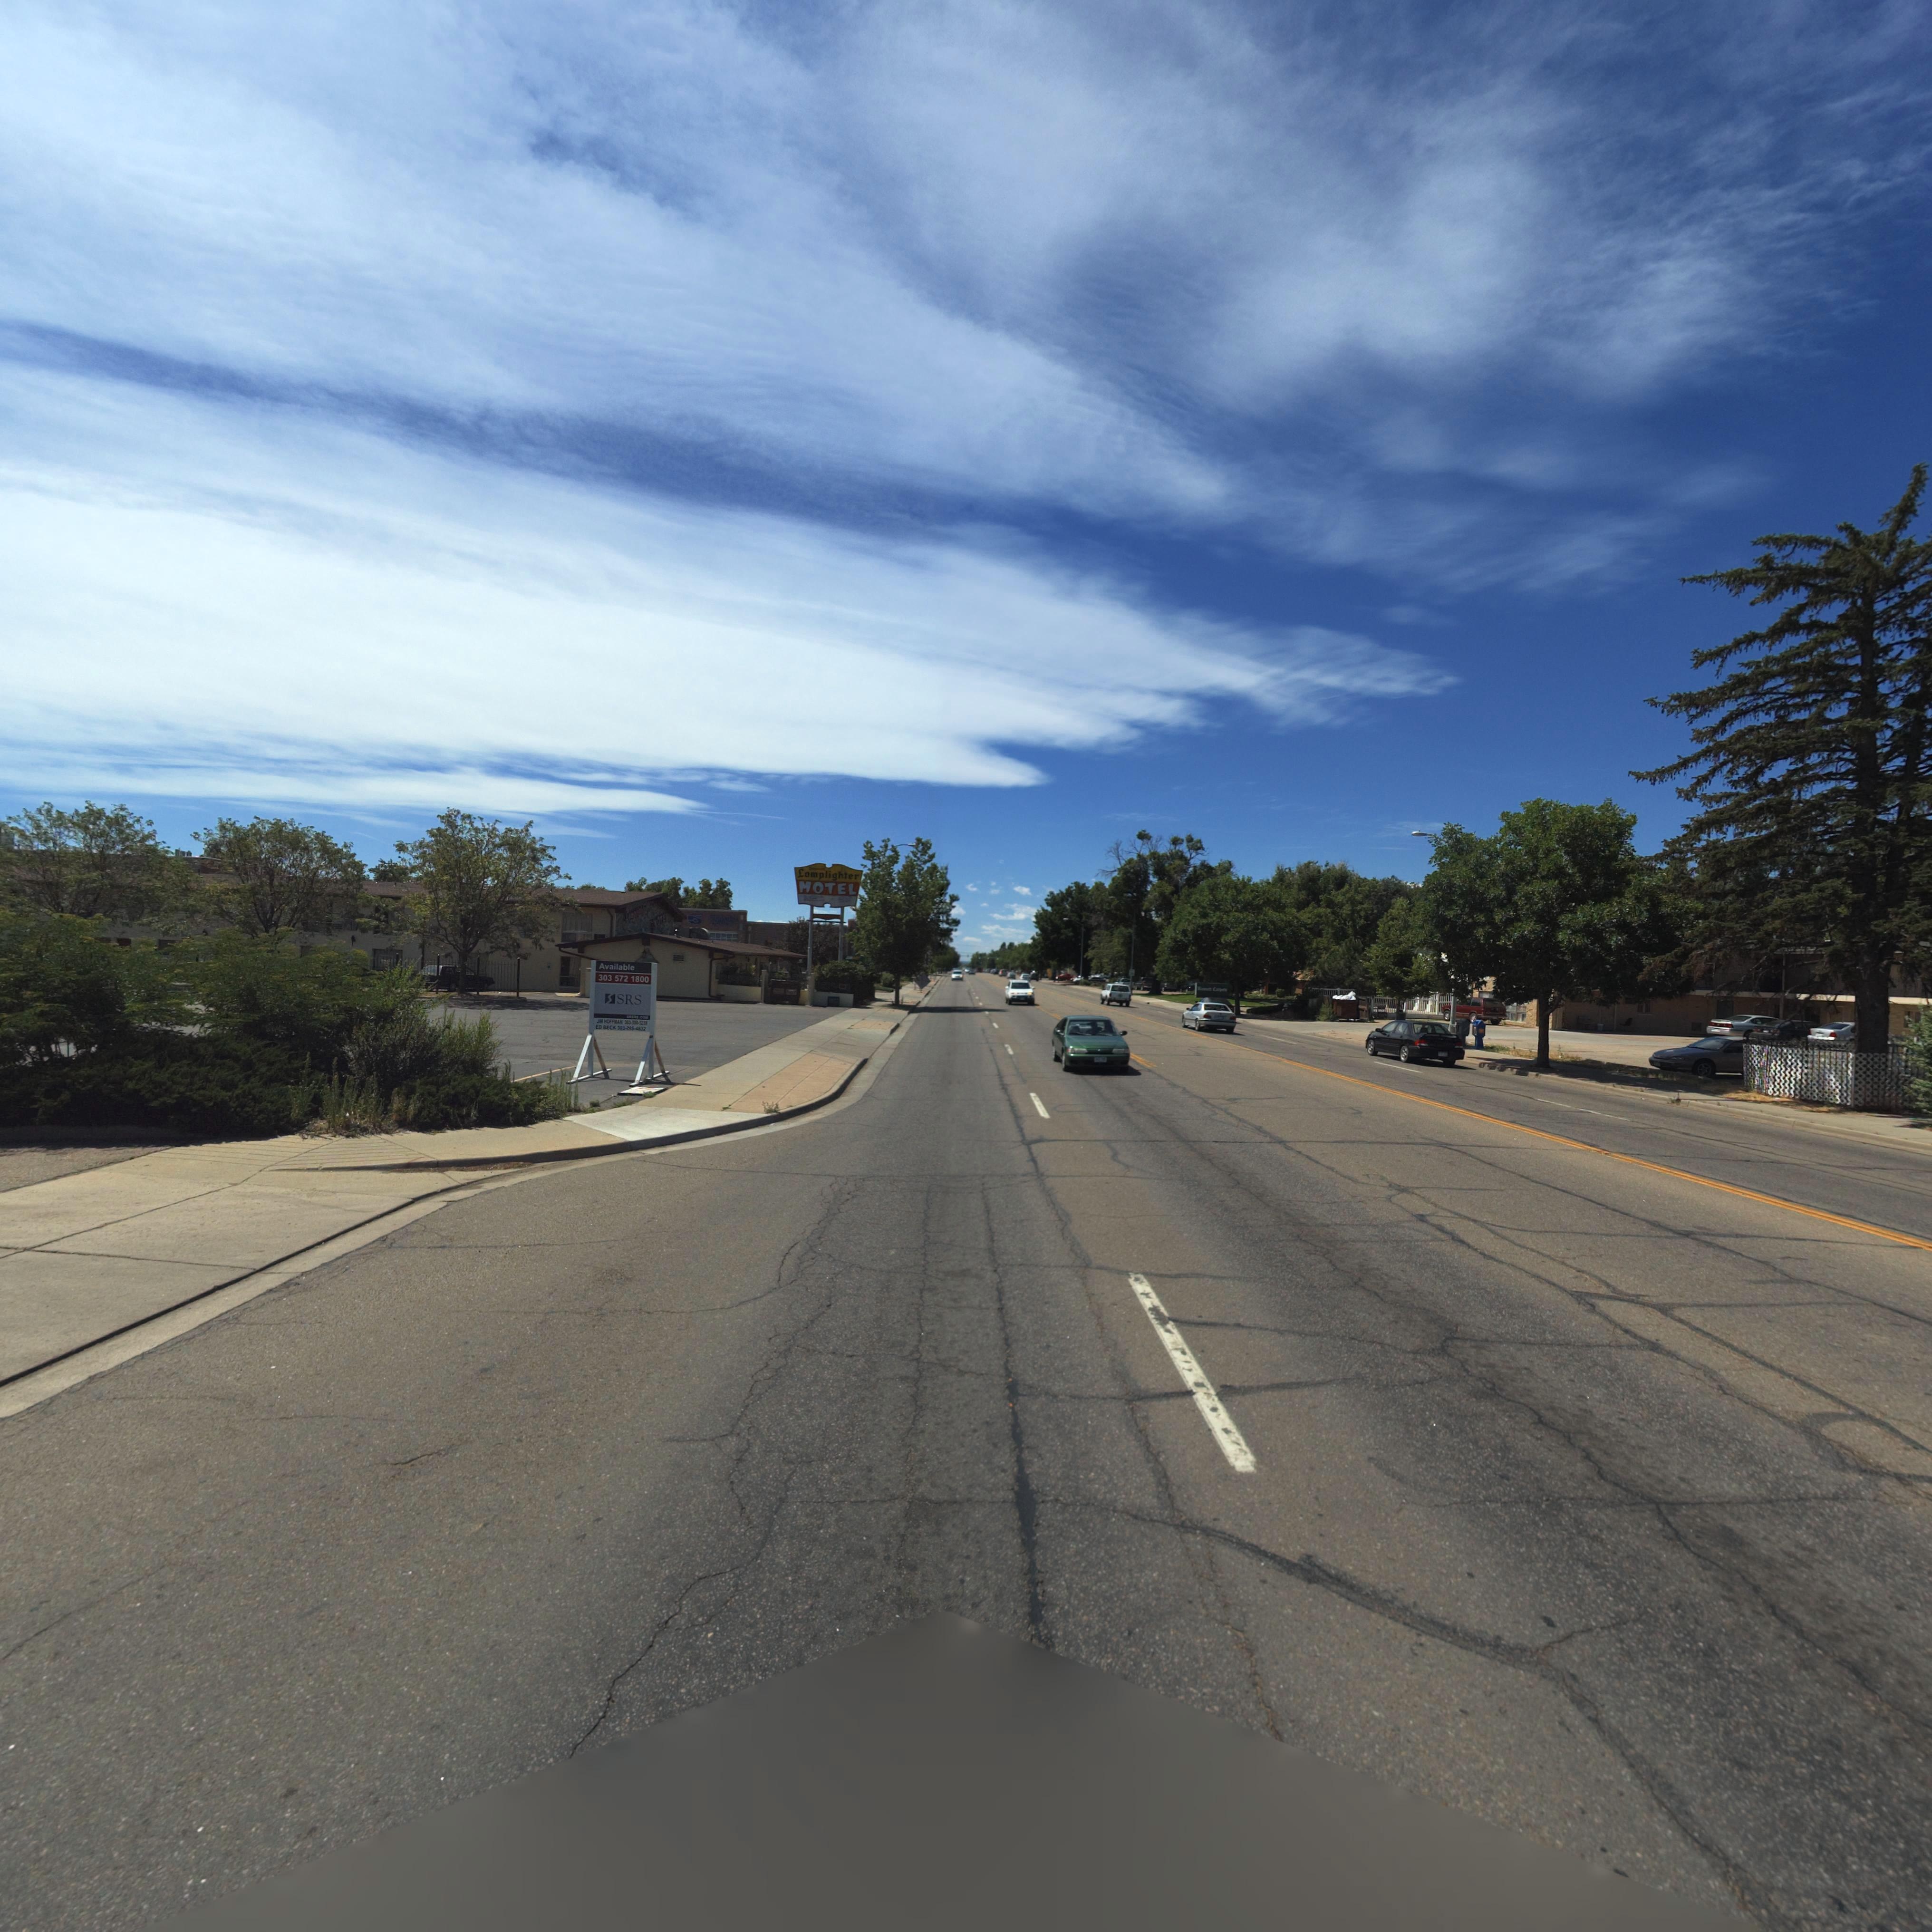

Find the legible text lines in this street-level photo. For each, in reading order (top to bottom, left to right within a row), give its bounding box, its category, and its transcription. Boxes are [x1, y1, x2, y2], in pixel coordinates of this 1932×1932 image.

[797, 868, 860, 881] BusinessName: Lamplighter
[798, 880, 856, 895] BusinessName: MOTEL
[687, 914, 703, 925] BusinessName: 5
[1198, 986, 1227, 992] BusinessName: ******* C**p***